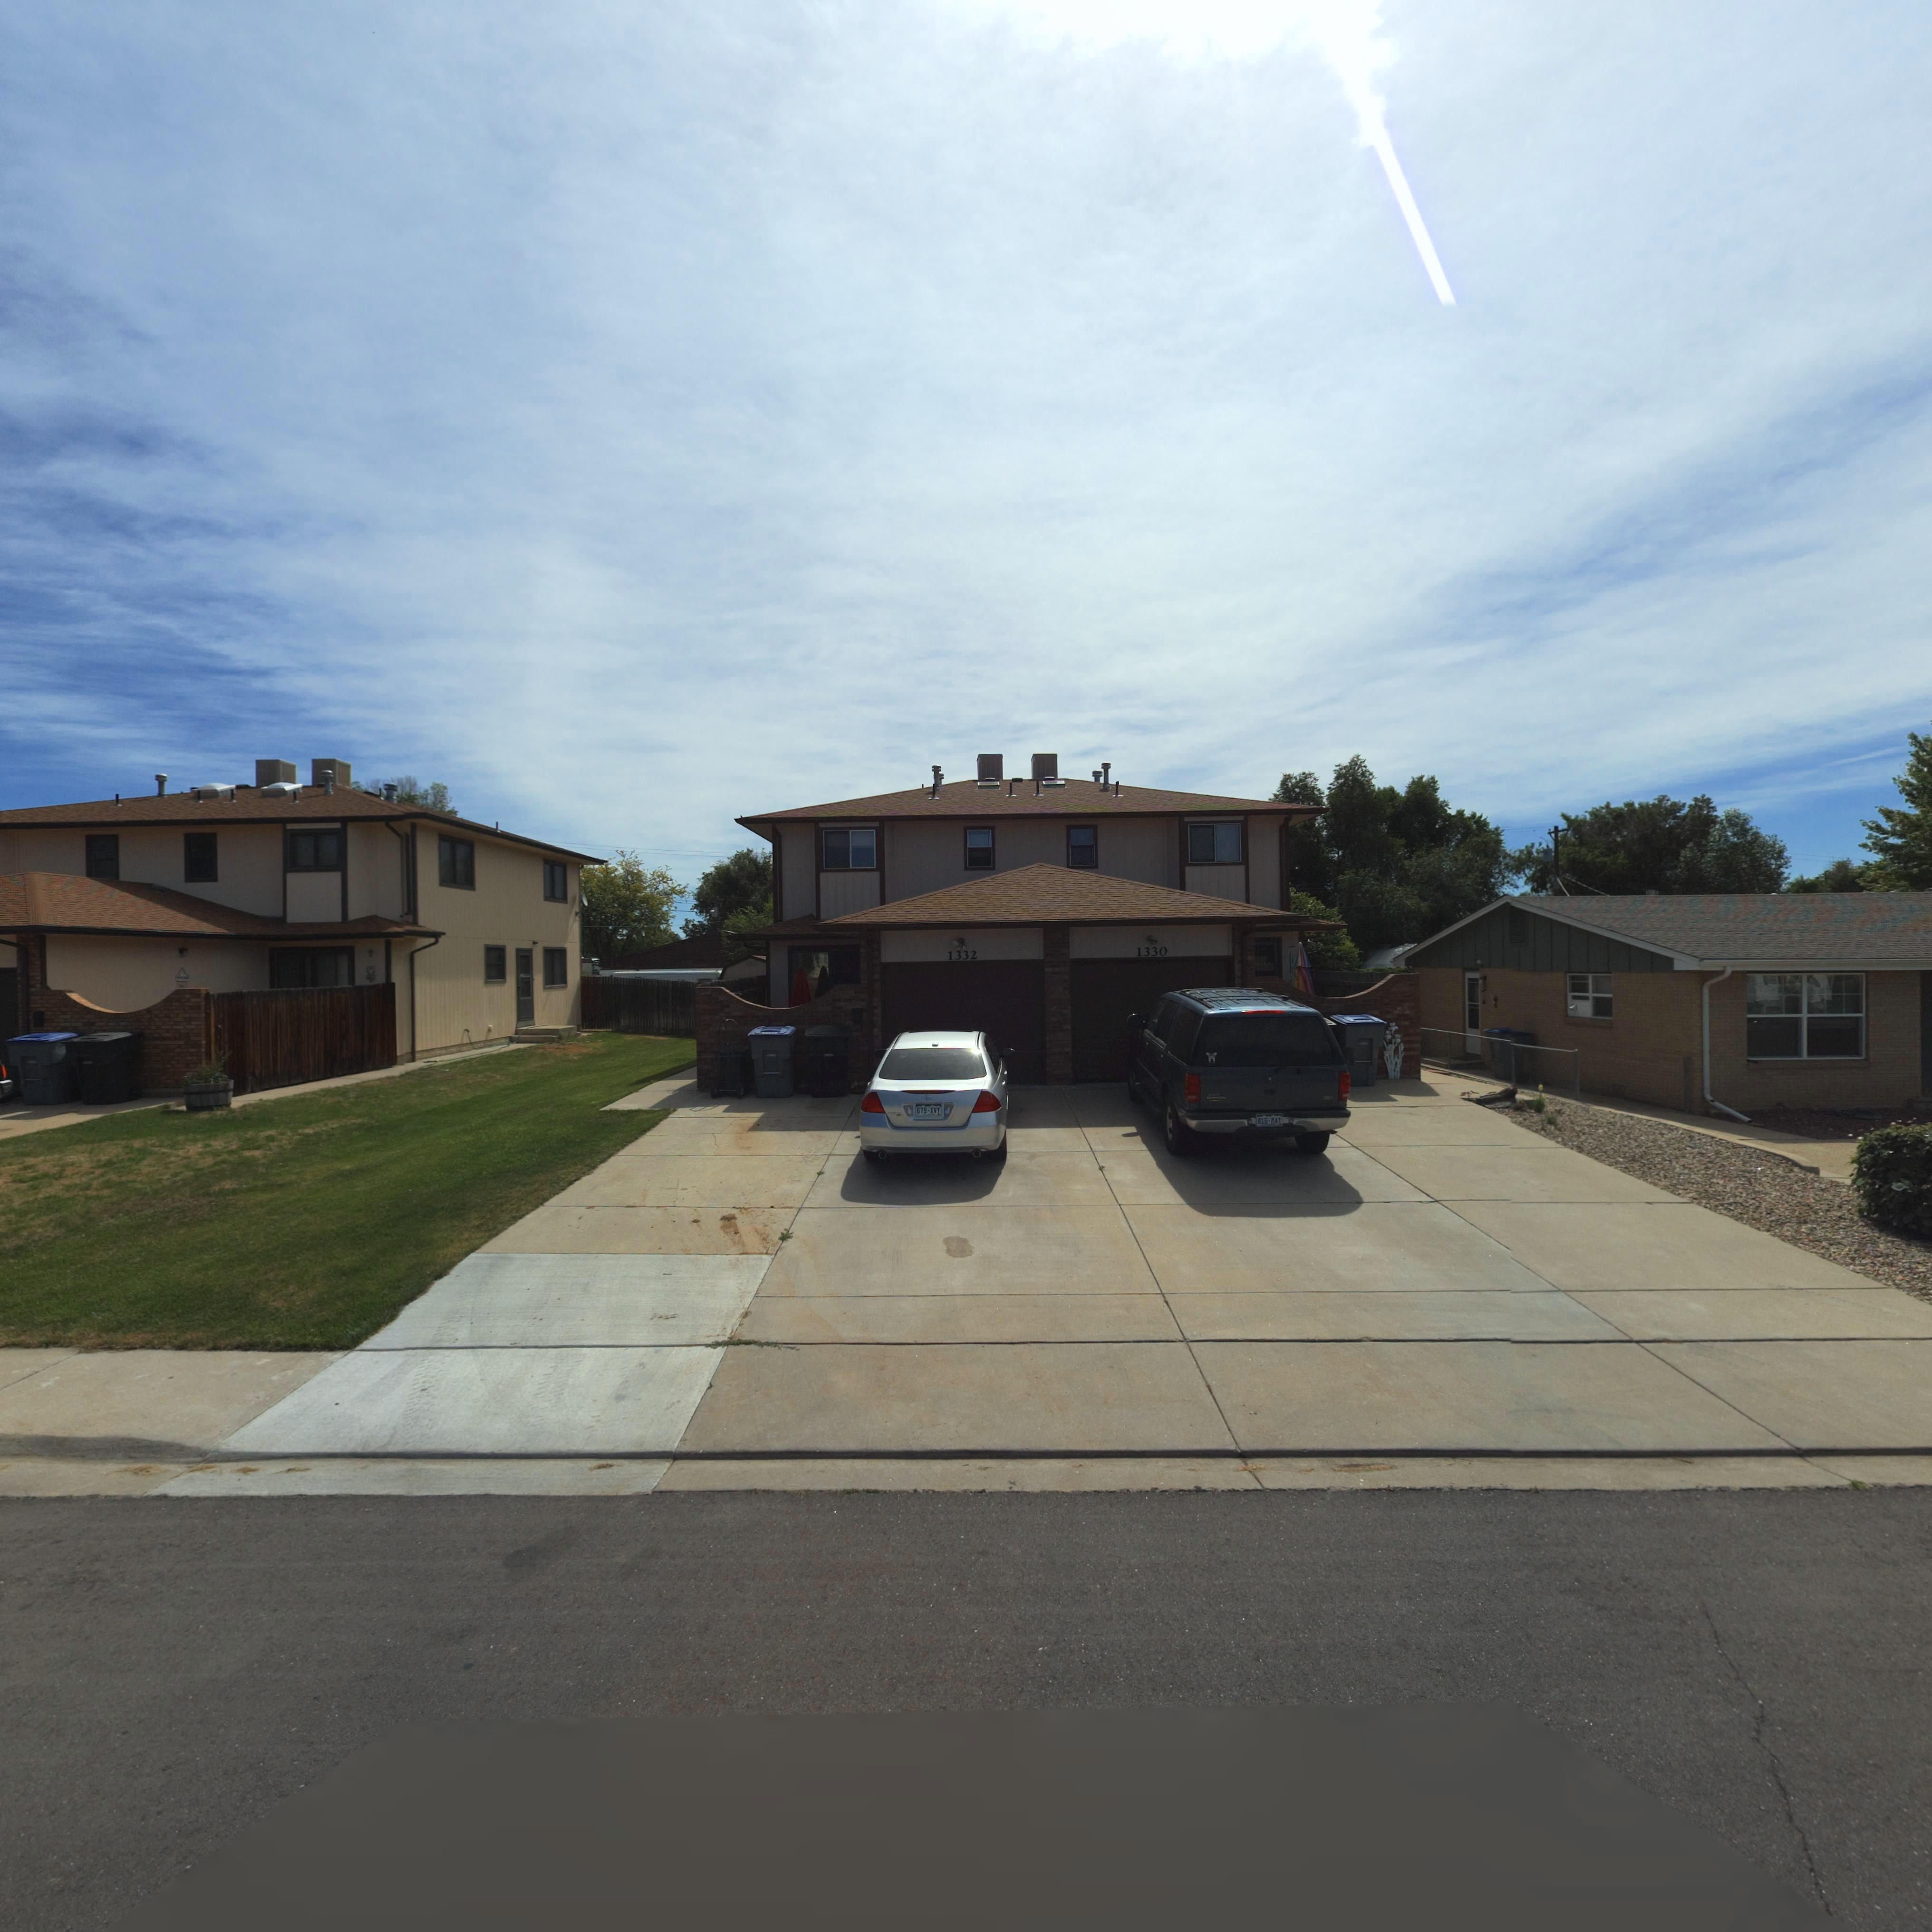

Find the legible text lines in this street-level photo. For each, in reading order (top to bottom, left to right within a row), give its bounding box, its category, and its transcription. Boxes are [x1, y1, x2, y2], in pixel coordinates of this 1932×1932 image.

[947, 950, 977, 960] StreetNumber: 1332
[1136, 946, 1168, 957] StreetNumber: 1330